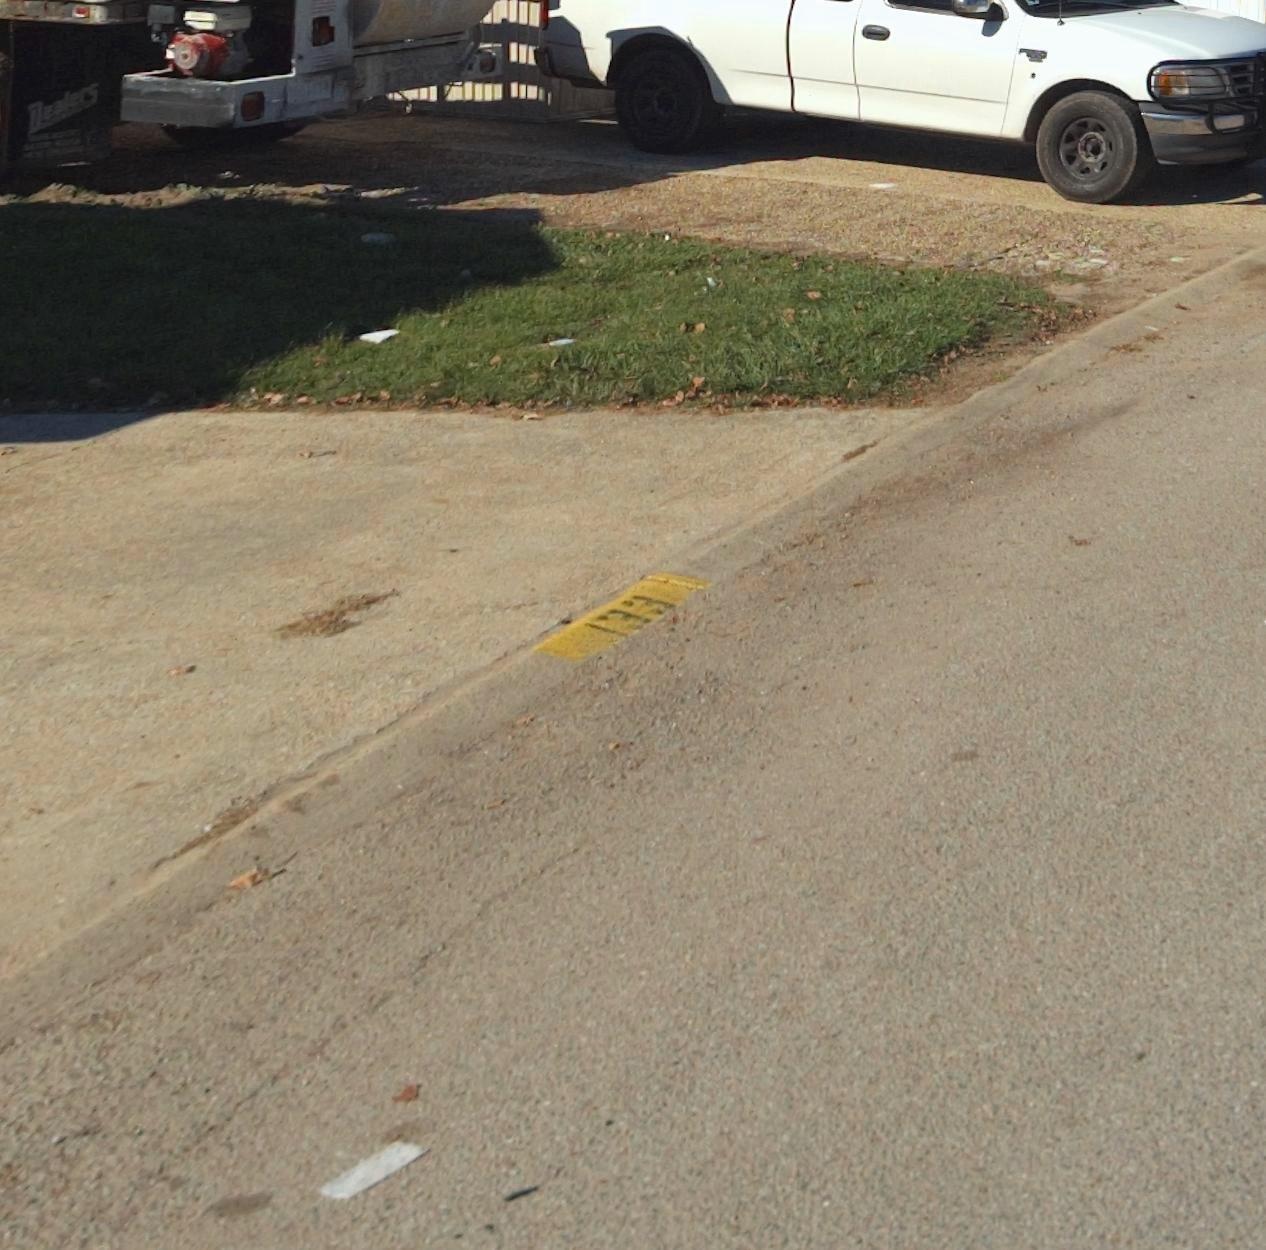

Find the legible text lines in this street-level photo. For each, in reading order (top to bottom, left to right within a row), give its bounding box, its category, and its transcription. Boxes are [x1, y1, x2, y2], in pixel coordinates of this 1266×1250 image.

[26, 80, 100, 136] None: Dealers
[578, 593, 678, 642] StreetNumber: 133